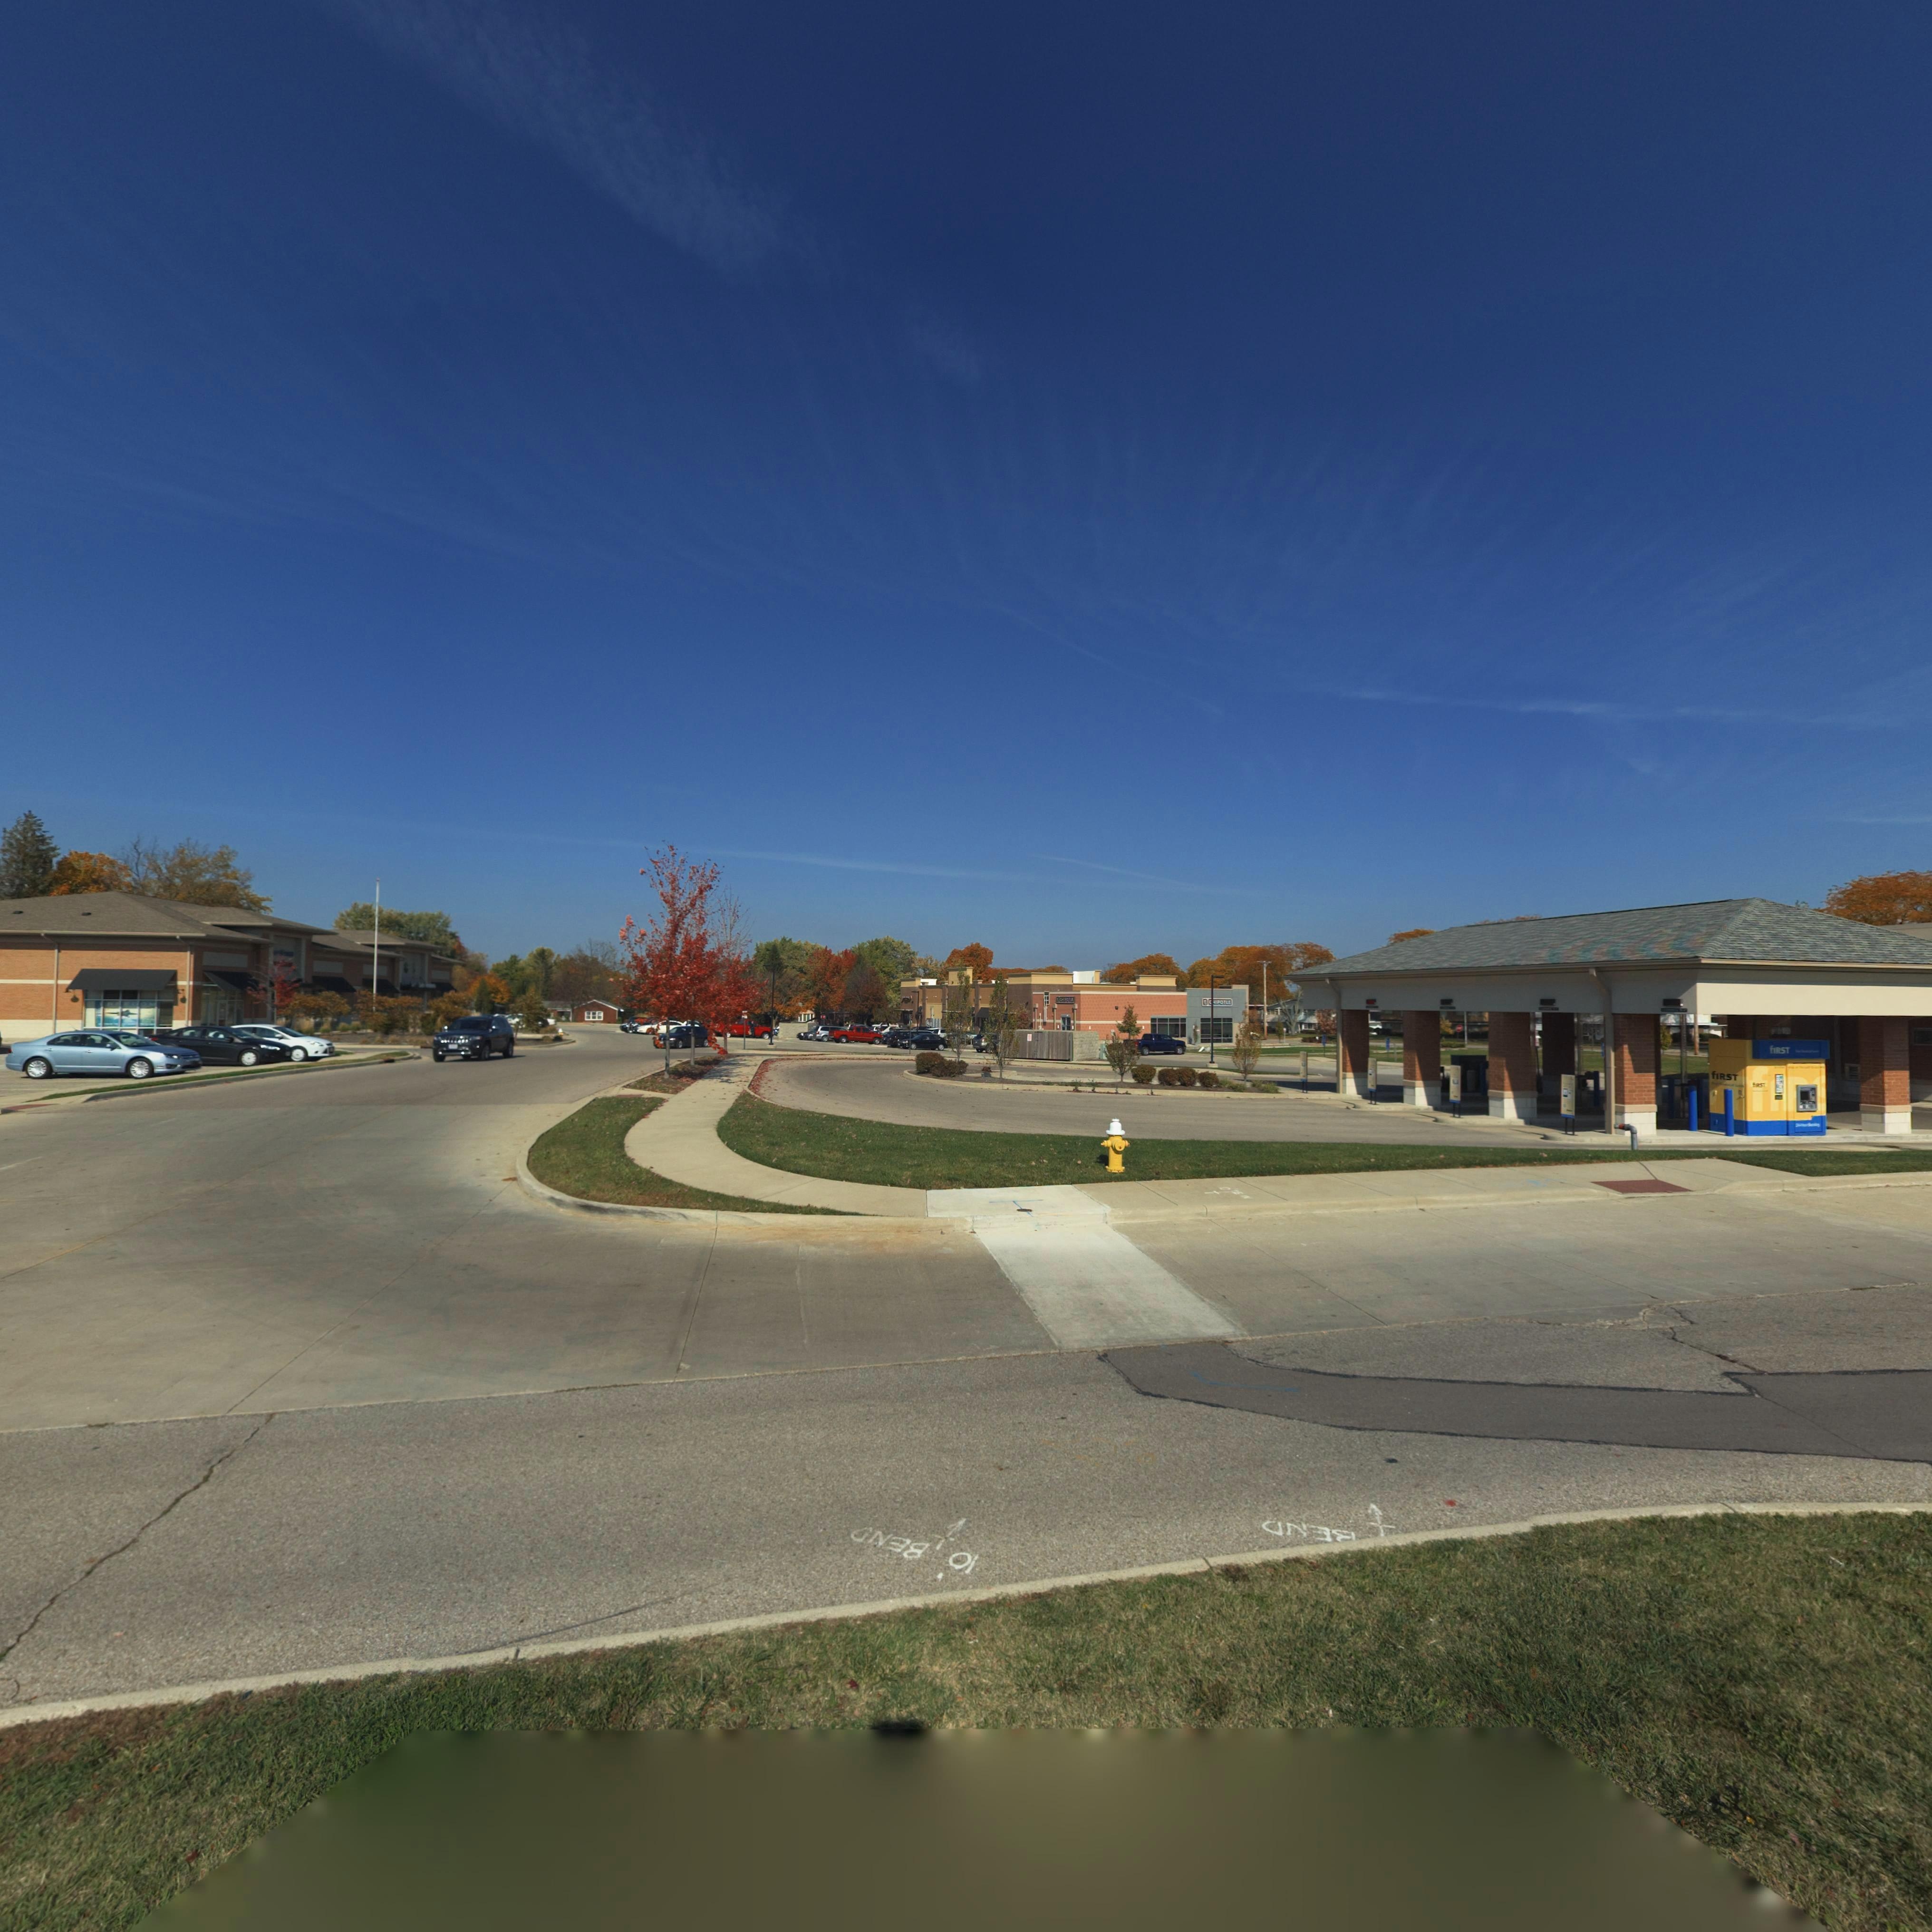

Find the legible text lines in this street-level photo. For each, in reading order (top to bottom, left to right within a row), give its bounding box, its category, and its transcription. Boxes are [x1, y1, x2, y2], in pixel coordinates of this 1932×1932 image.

[1217, 999, 1232, 1005] BusinessName: POTL*
[1768, 1043, 1791, 1055] BusinessName: fIRST
[1710, 1069, 1739, 1082] BusinessName: fIRST